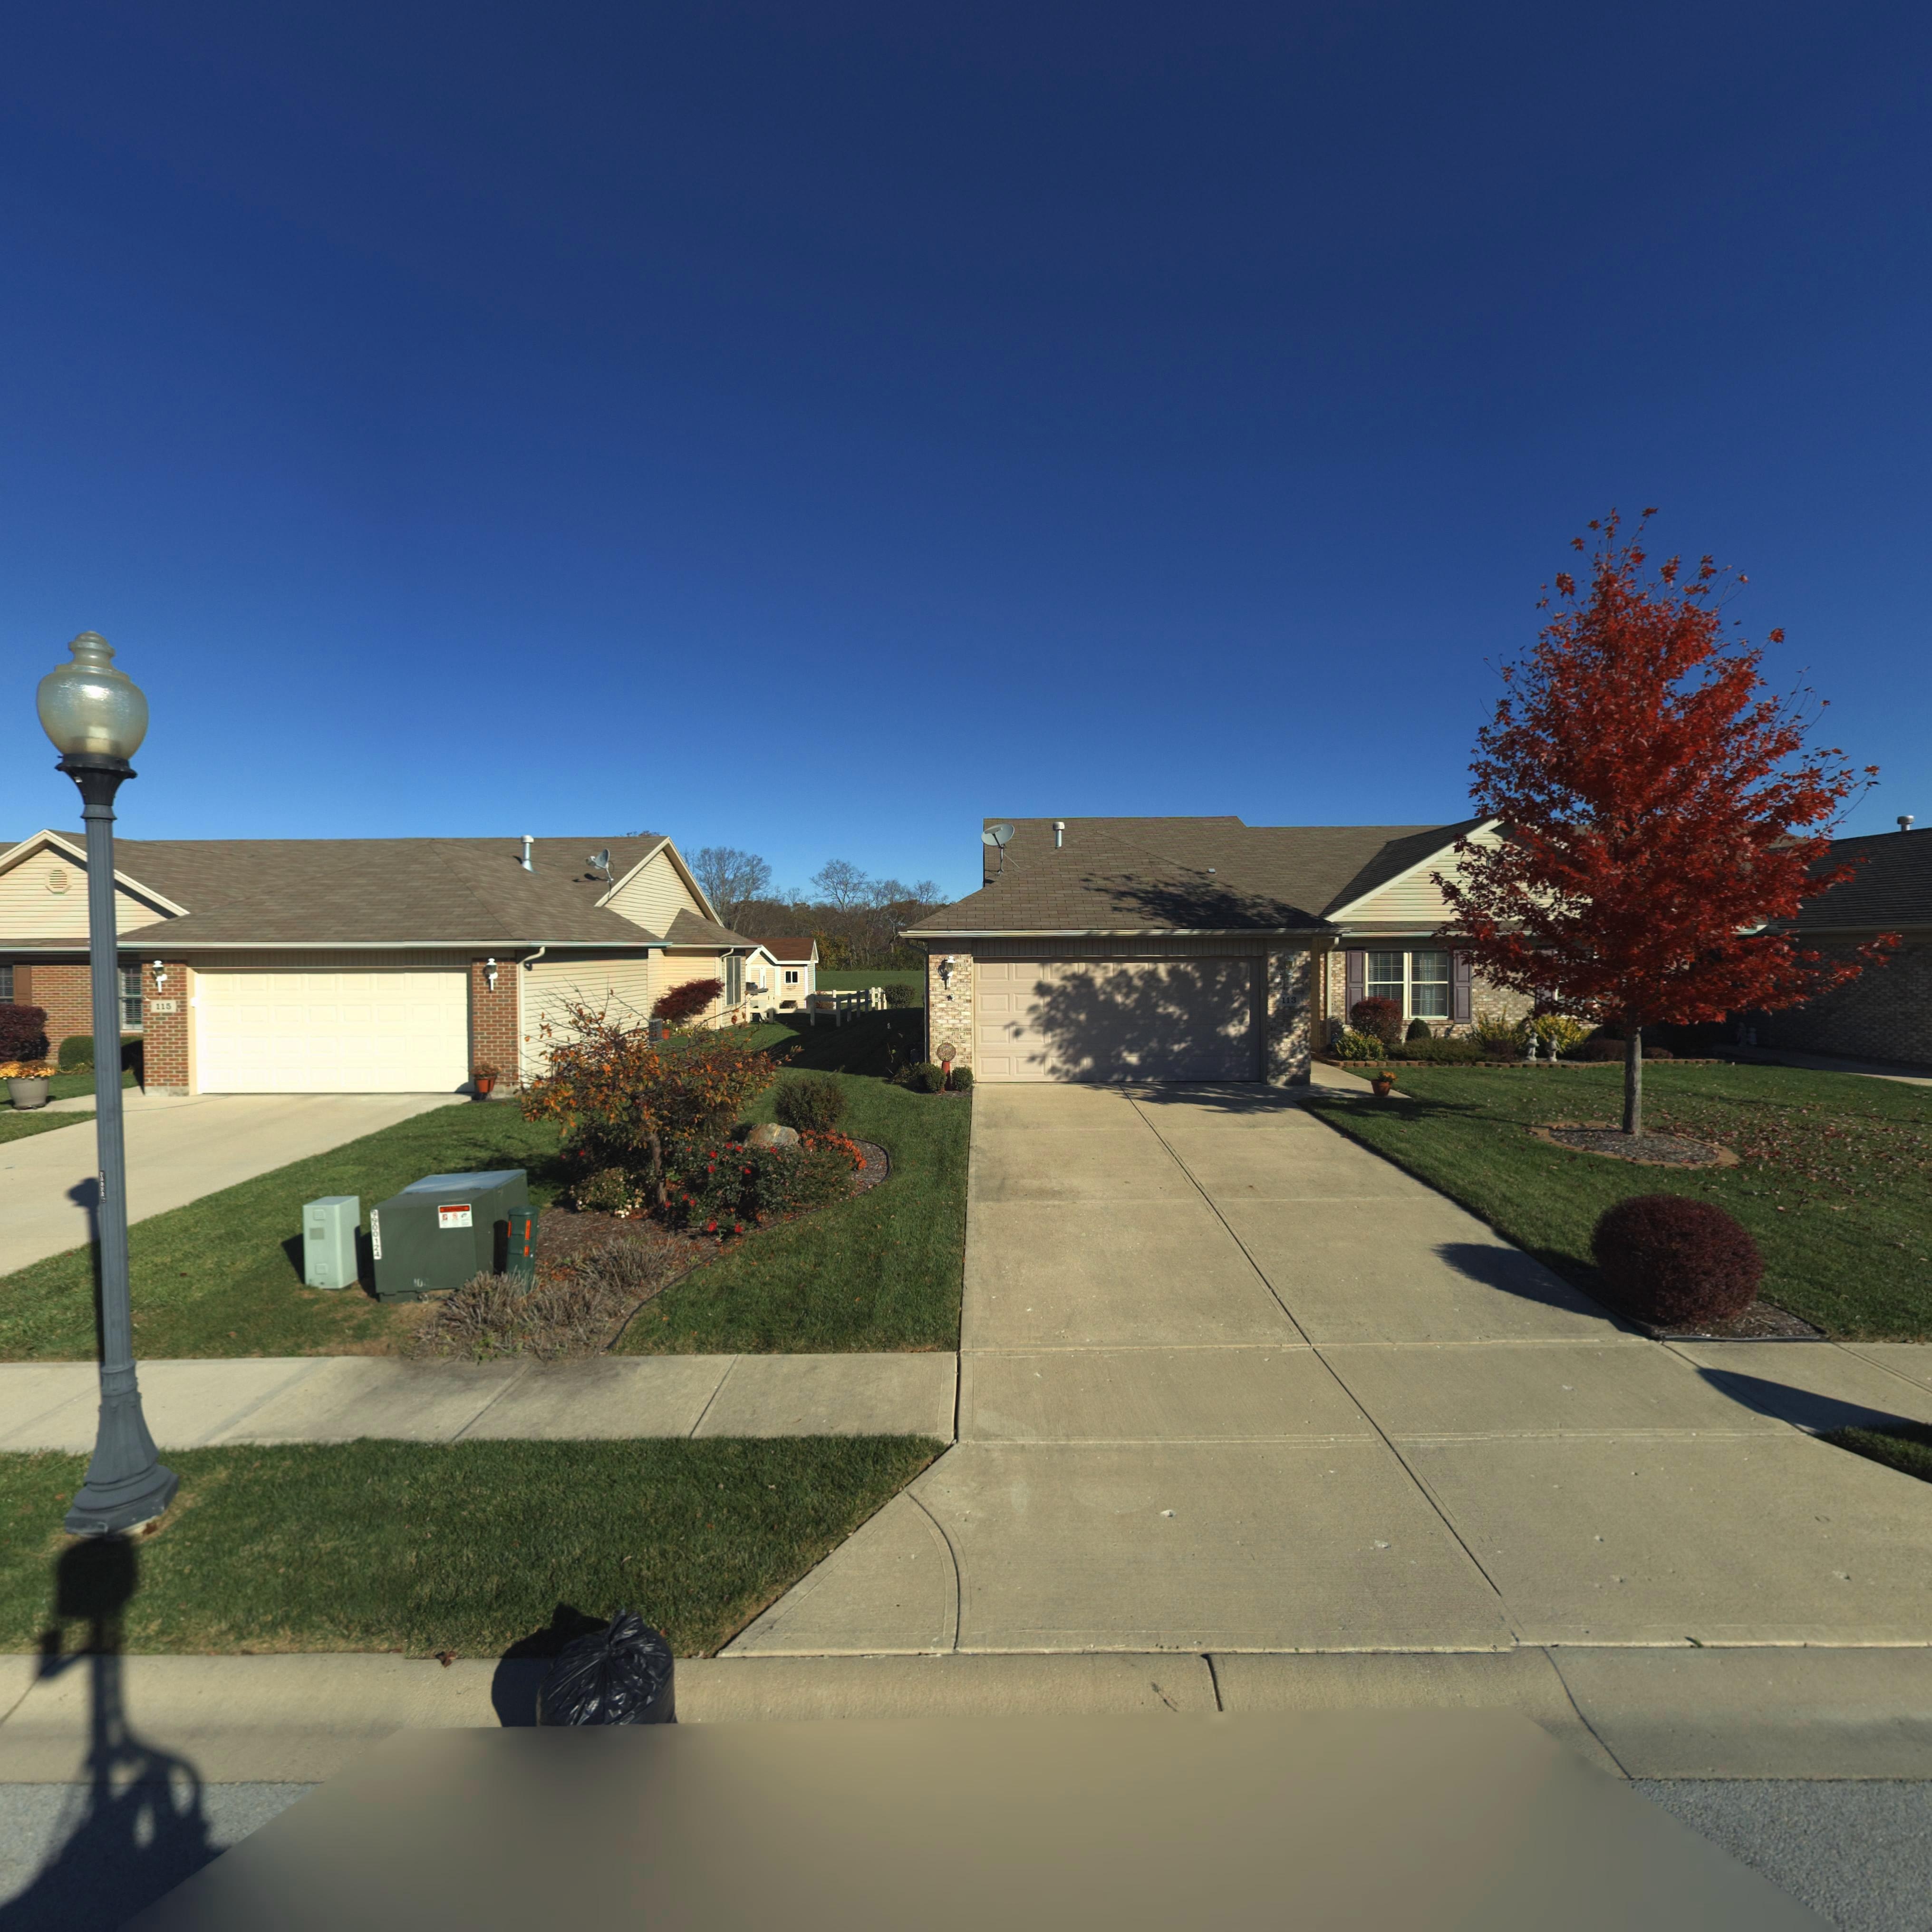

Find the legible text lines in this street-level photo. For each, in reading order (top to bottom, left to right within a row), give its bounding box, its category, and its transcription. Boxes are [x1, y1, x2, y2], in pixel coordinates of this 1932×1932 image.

[1281, 996, 1297, 1005] StreetNumber: 113
[155, 1002, 173, 1011] StreetNumber: 115